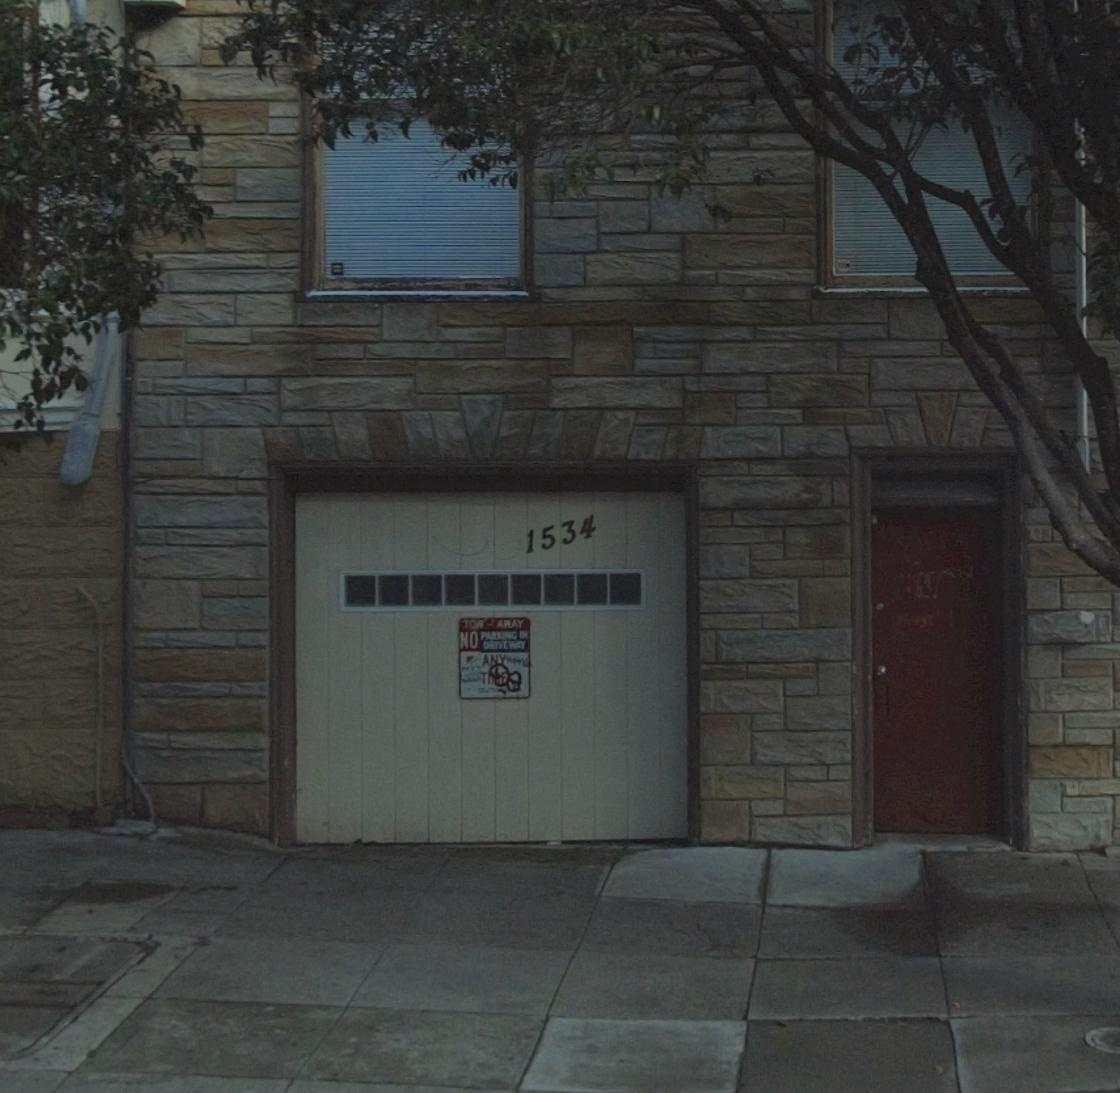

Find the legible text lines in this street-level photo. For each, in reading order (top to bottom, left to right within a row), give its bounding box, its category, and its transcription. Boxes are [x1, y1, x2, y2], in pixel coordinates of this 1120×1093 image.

[523, 510, 598, 558] StreetNumber: 1534
[495, 616, 527, 631] None: A*AY
[457, 628, 481, 652] None: NO
[479, 652, 492, 669] None: A
[478, 670, 489, 688] None: T